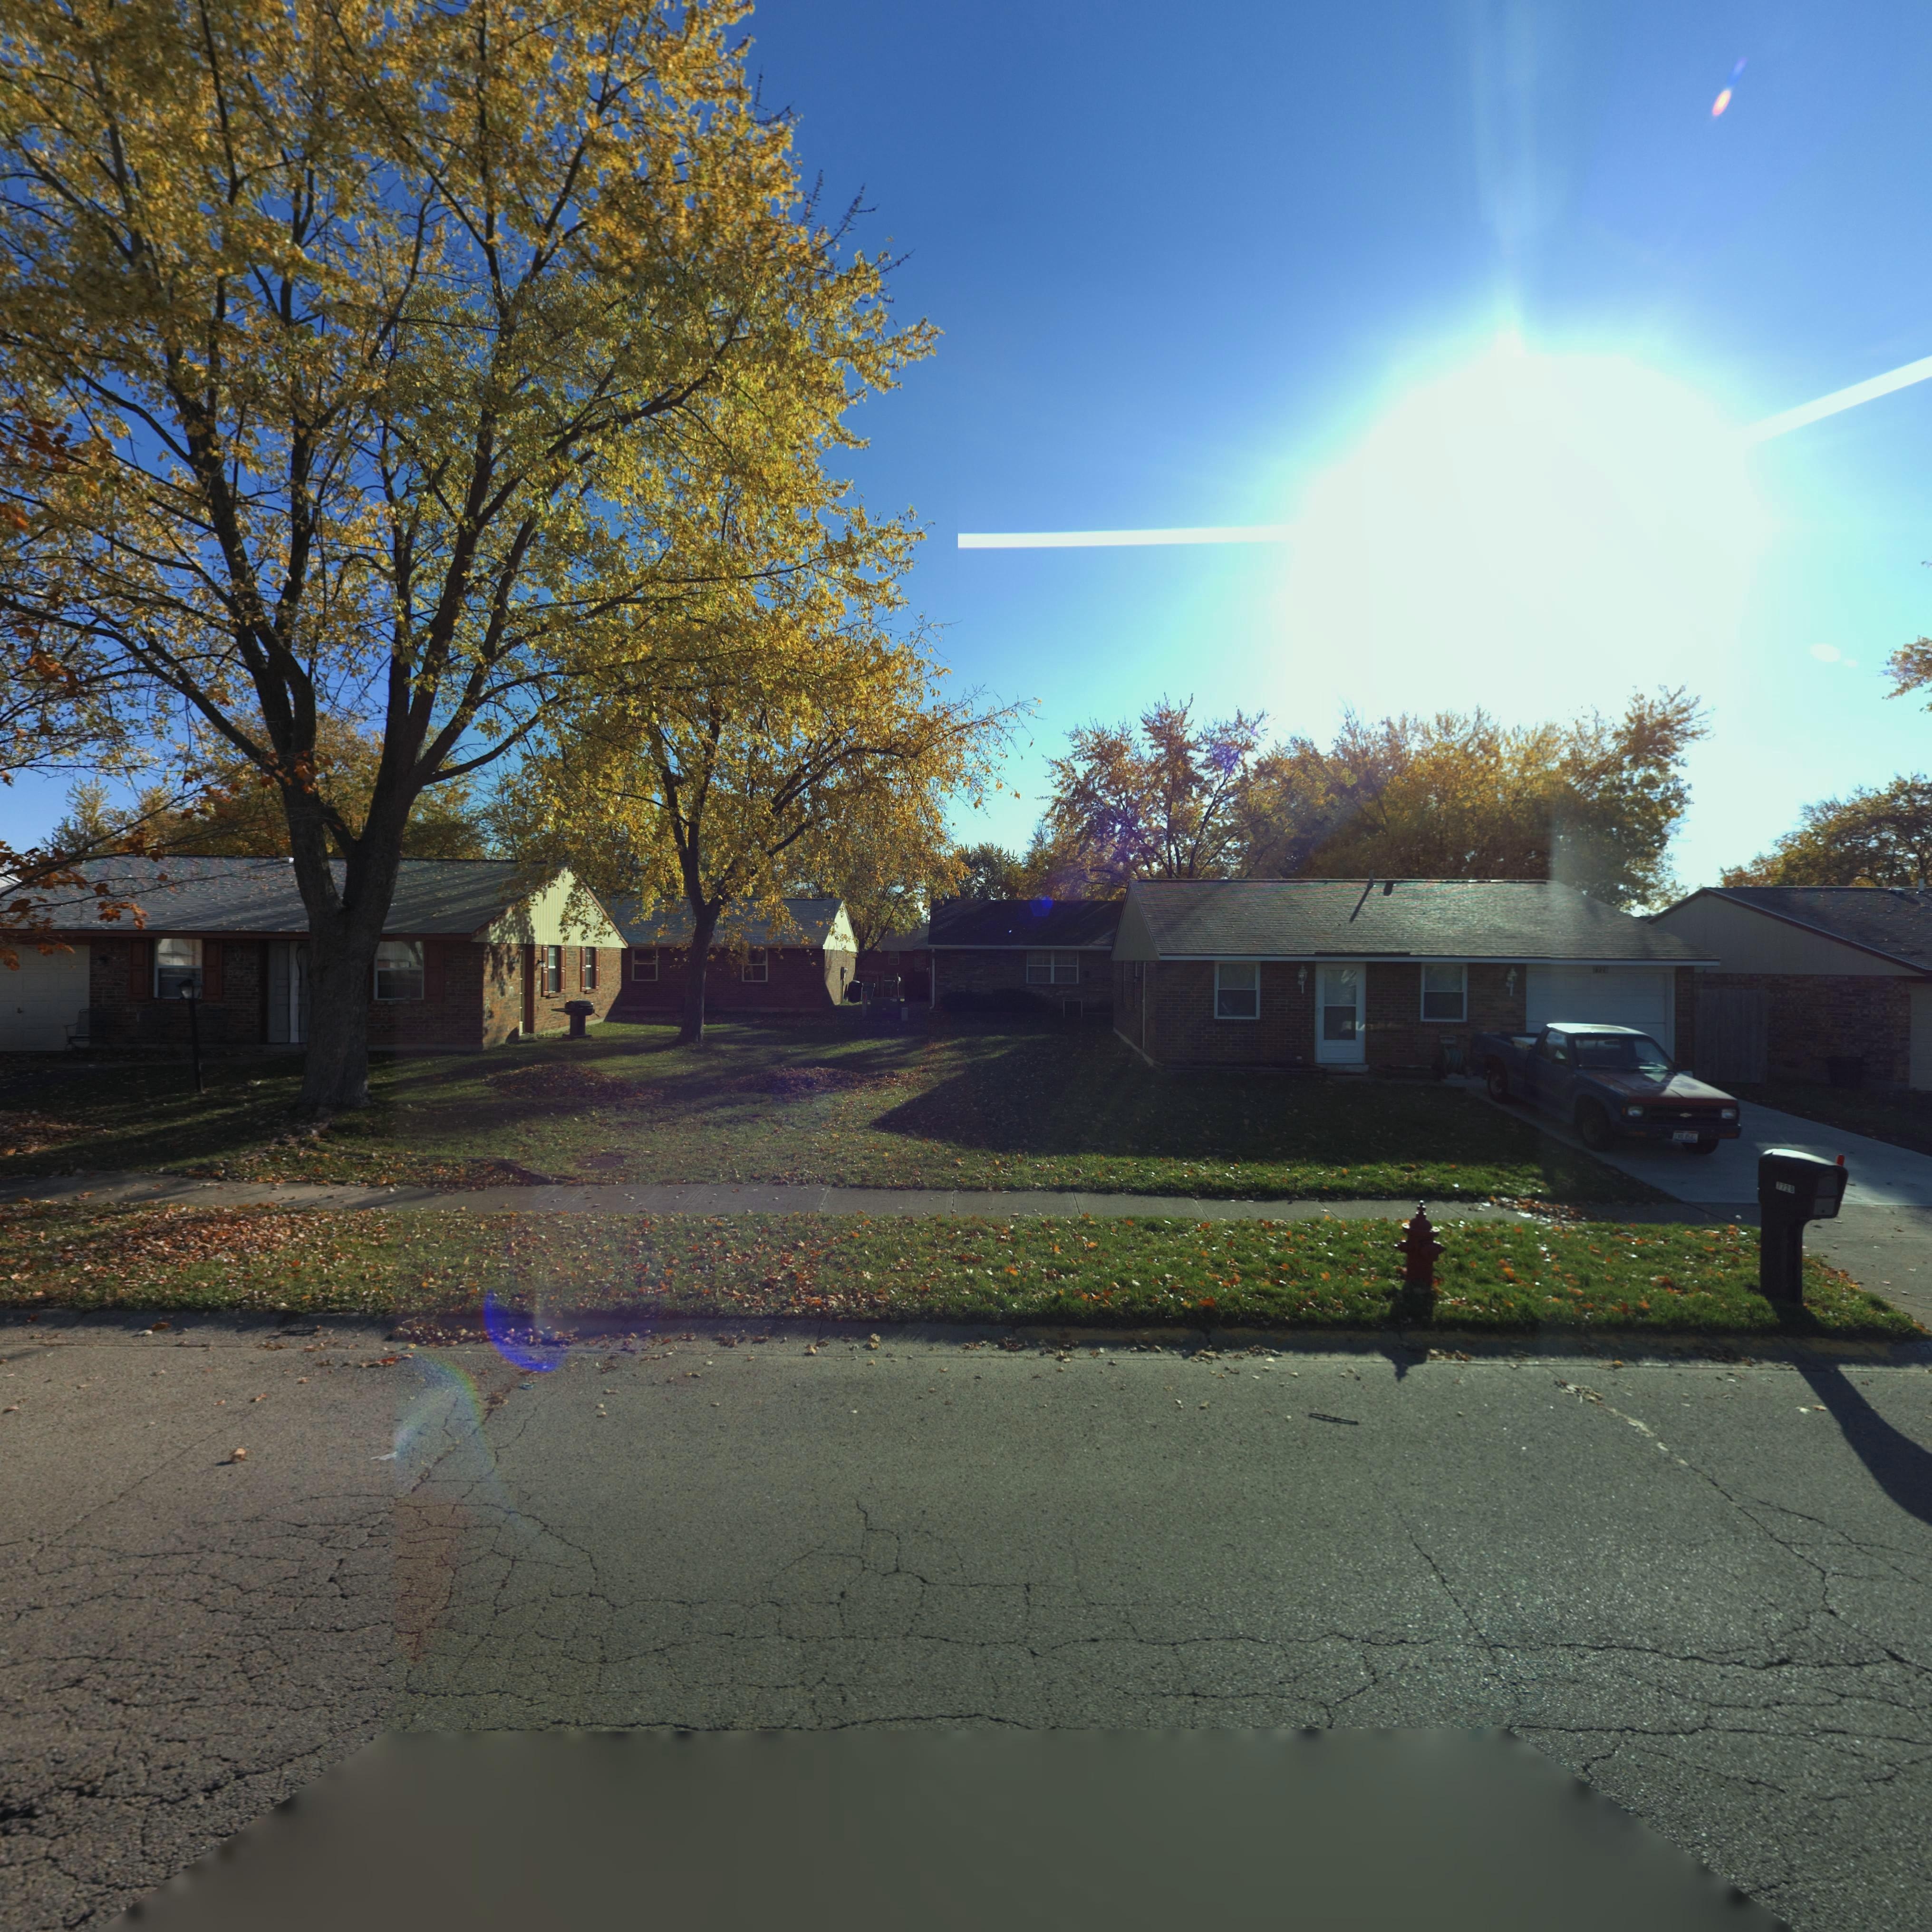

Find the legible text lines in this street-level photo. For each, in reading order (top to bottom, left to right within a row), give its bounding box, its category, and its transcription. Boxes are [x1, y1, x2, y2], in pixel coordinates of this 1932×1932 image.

[1775, 1180, 1796, 1195] StreetNumber: 7728